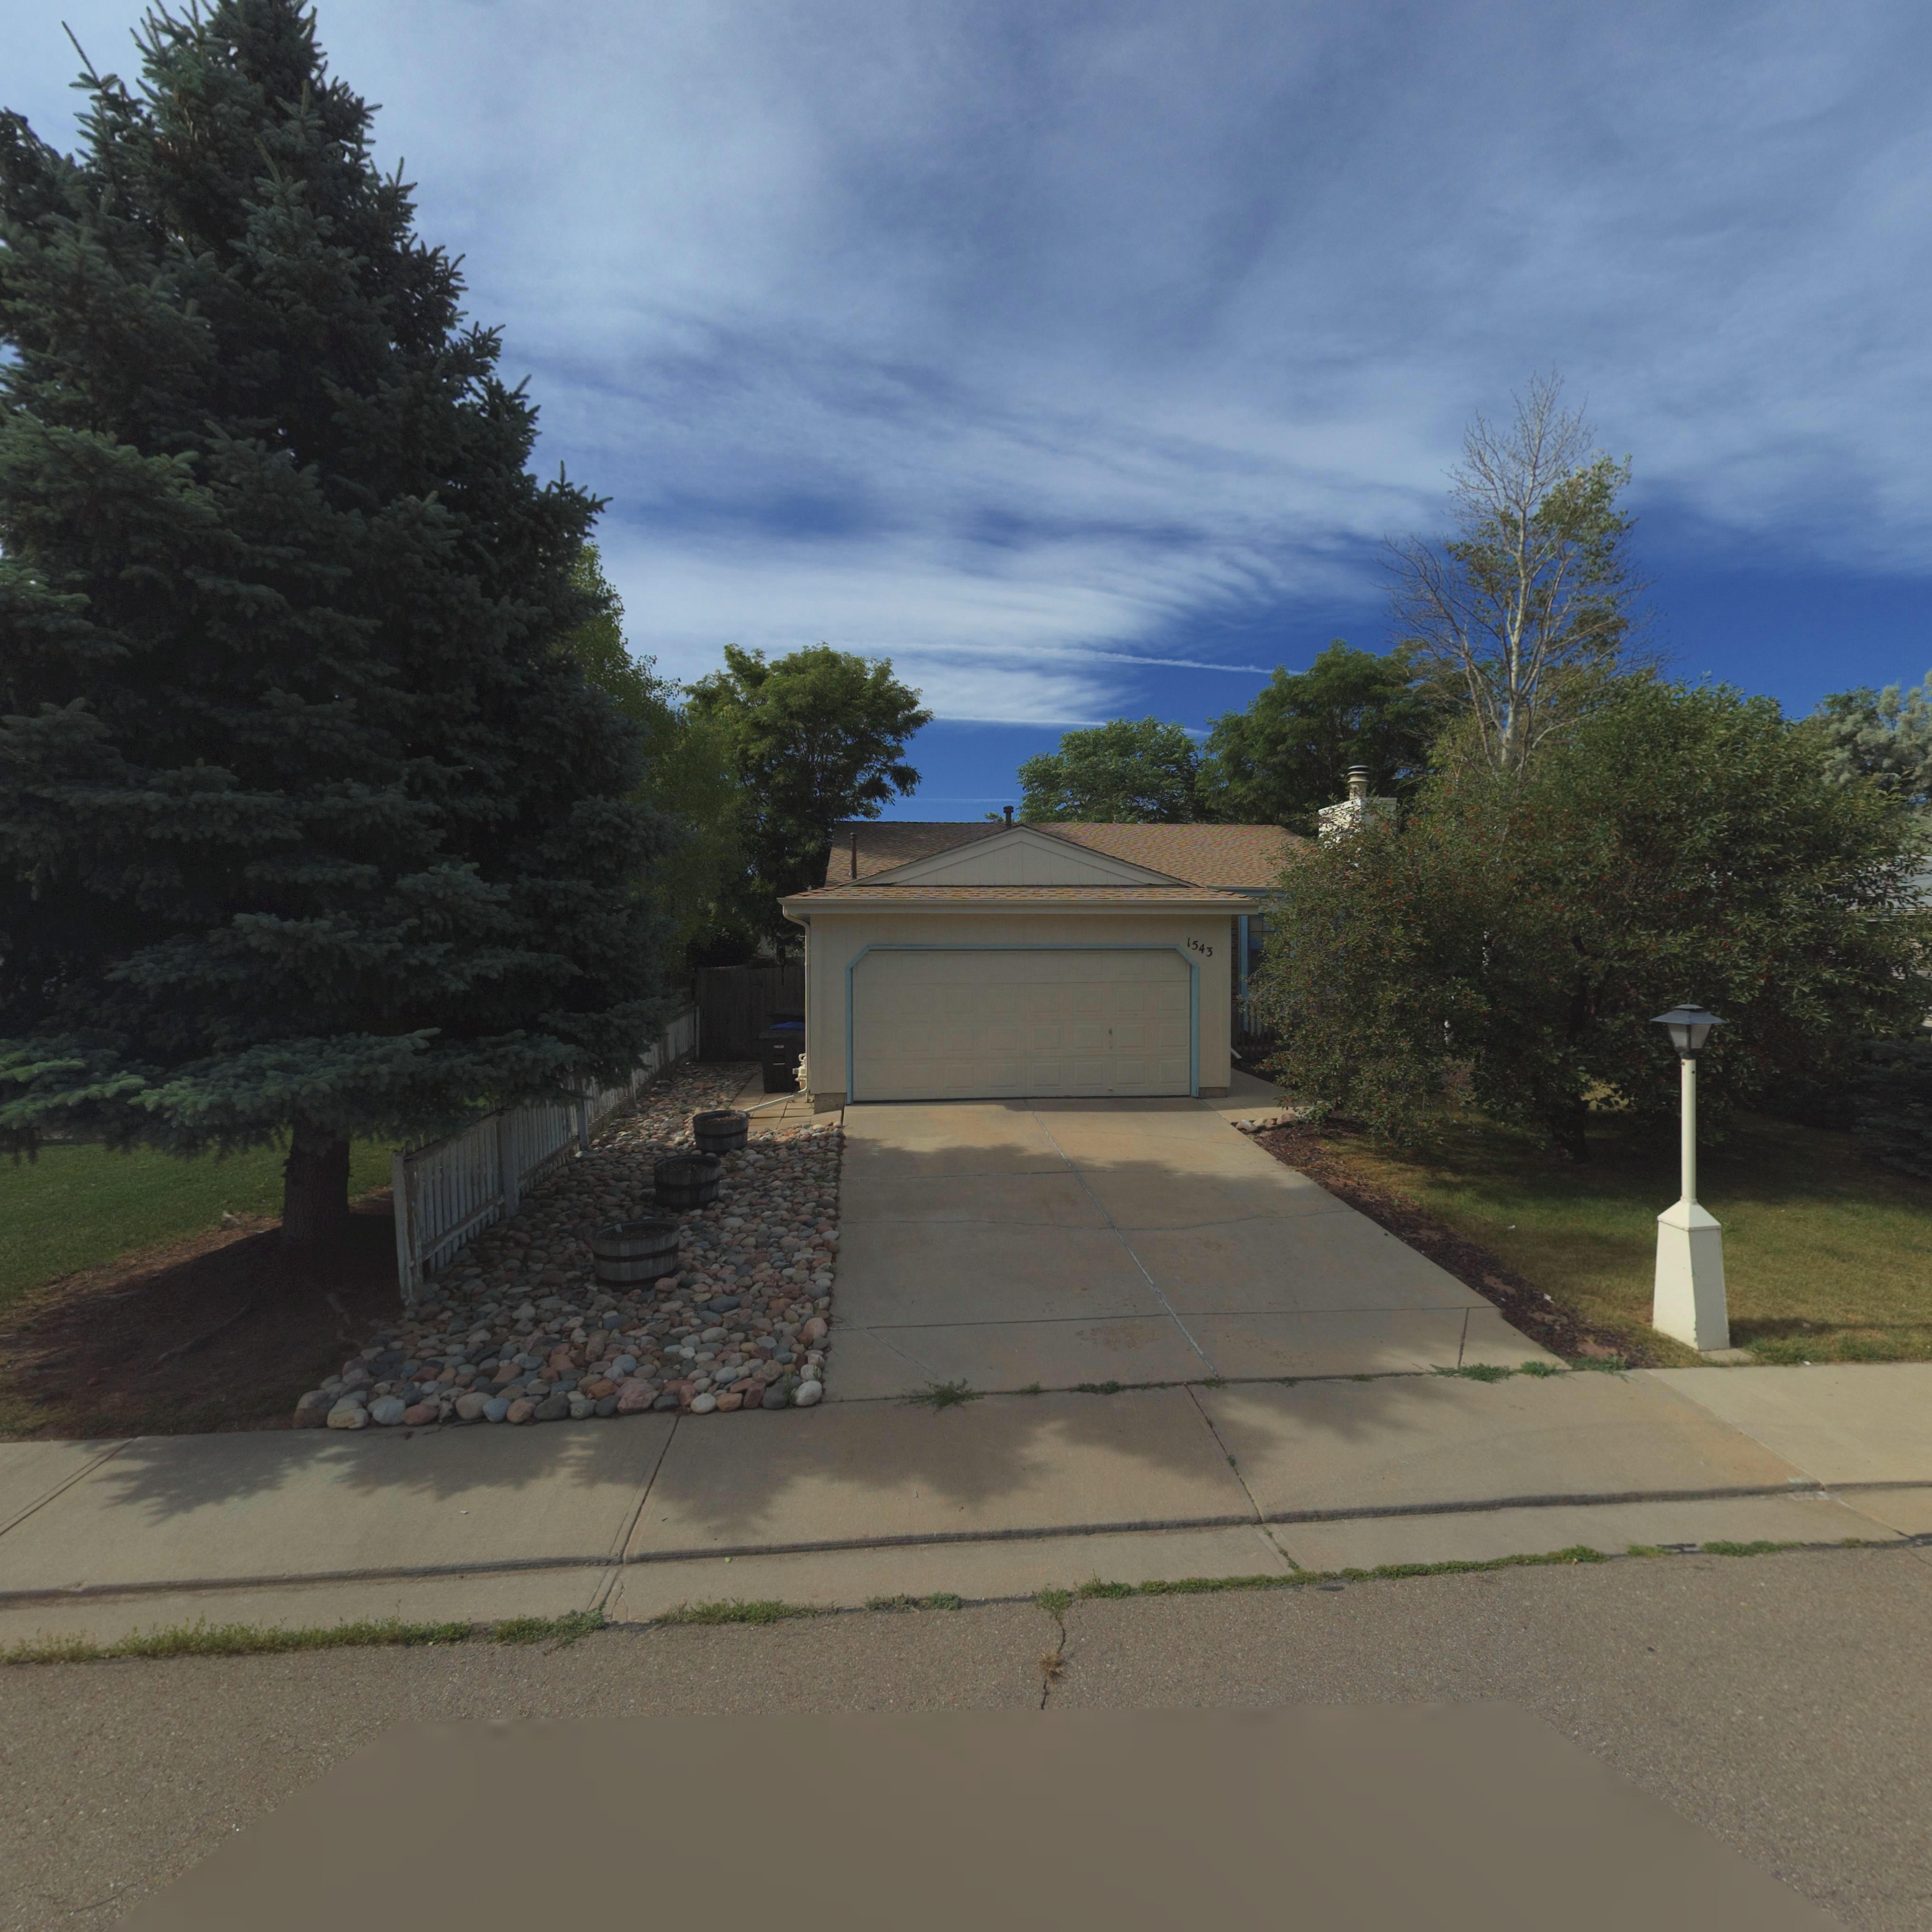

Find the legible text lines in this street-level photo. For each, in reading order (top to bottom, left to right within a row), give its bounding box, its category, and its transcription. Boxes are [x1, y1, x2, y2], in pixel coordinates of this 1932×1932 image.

[1187, 937, 1213, 957] StreetNumber: 1543